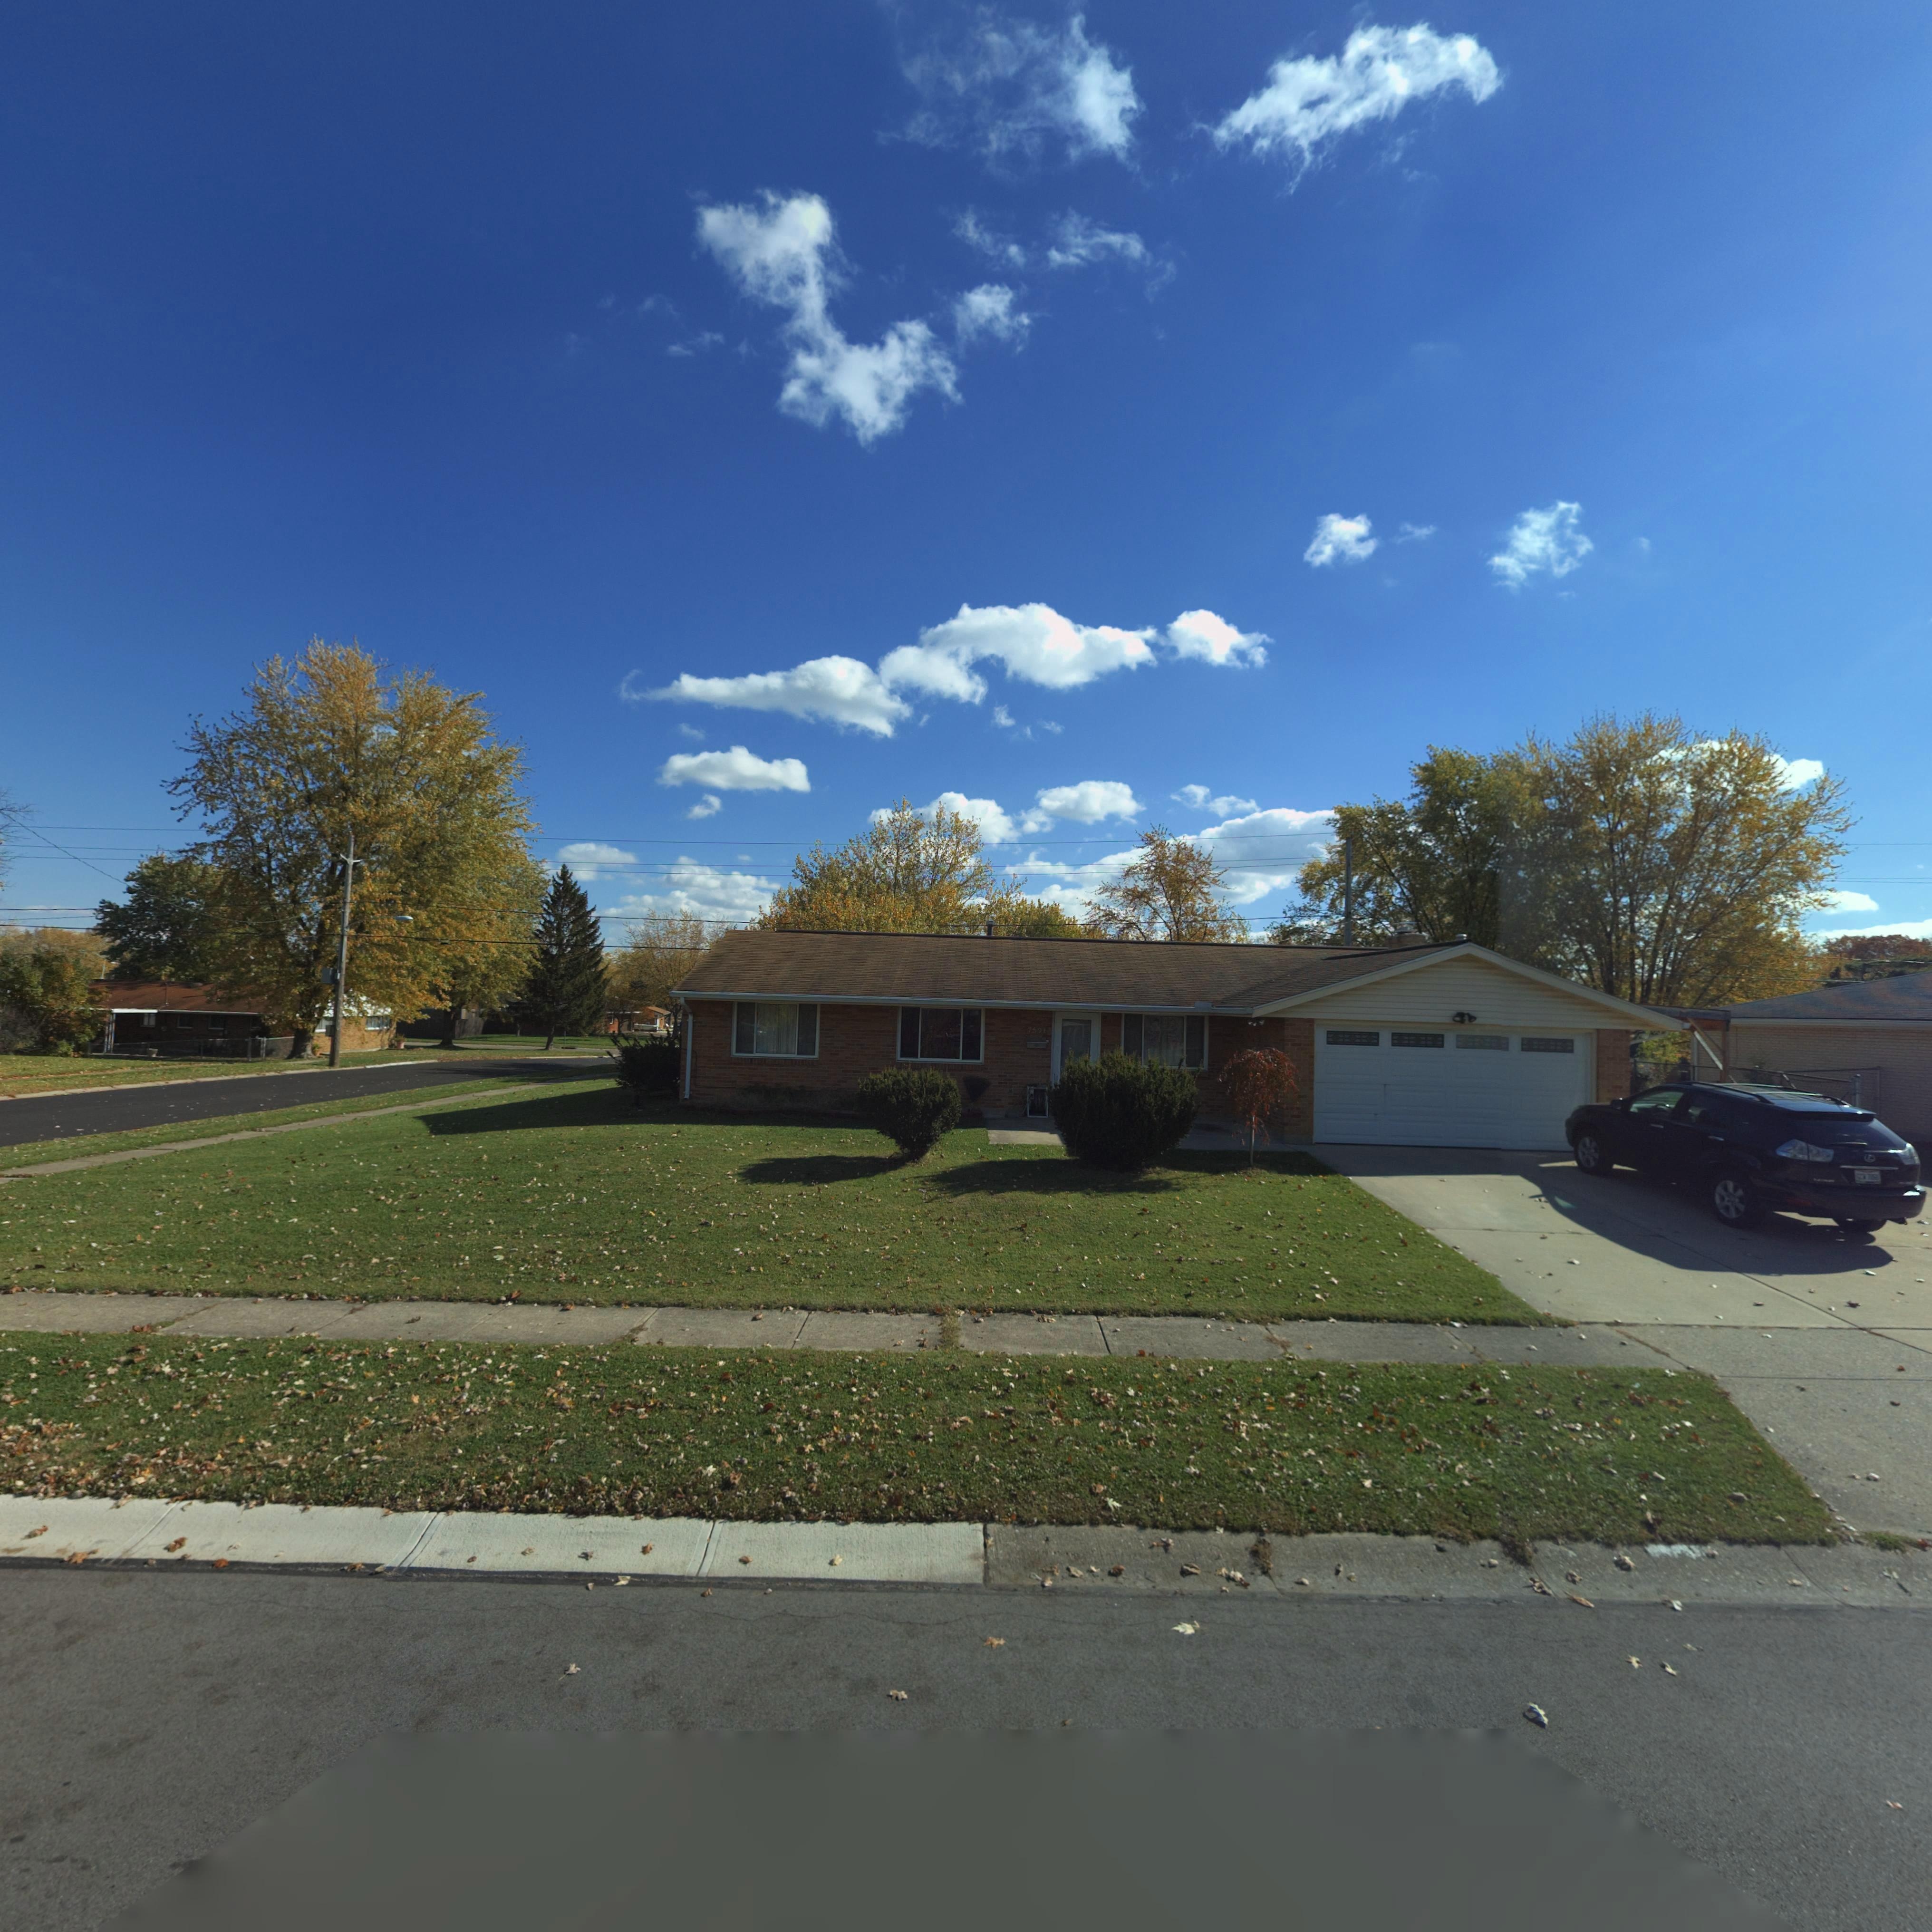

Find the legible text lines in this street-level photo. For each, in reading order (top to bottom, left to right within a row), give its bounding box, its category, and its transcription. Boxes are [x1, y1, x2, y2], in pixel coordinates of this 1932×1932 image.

[1027, 1026, 1046, 1034] StreetNumber: 7591